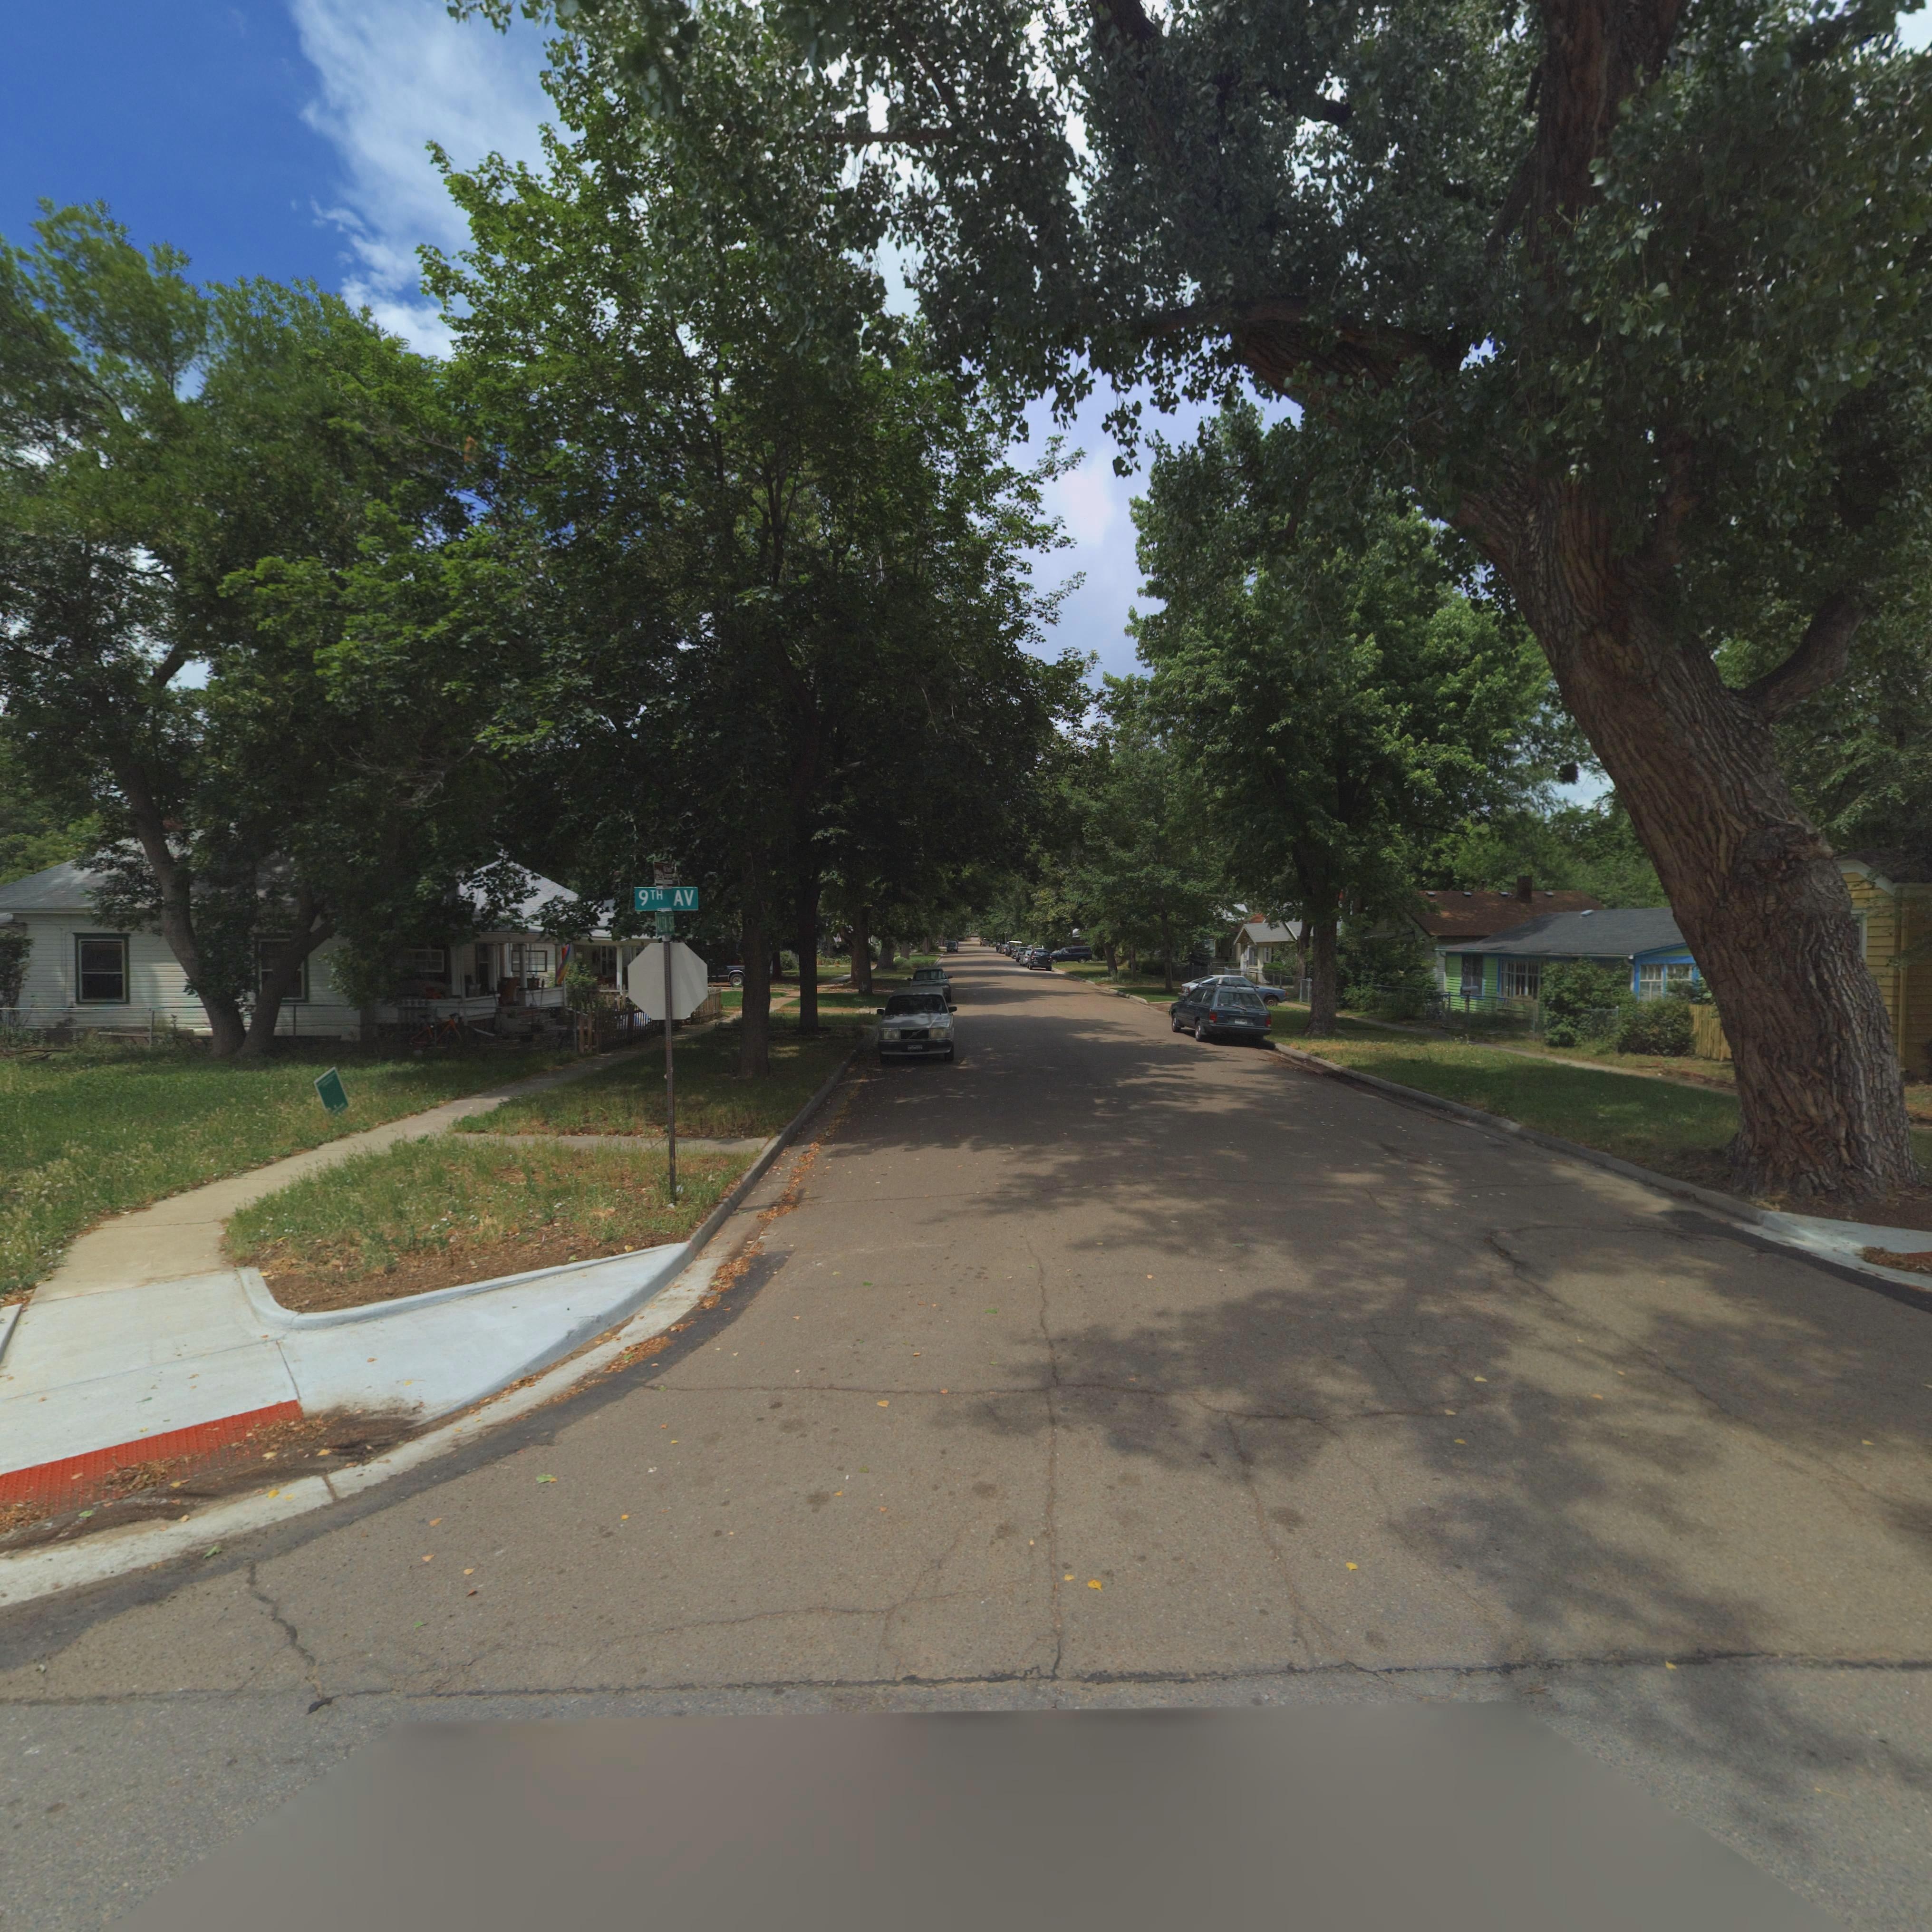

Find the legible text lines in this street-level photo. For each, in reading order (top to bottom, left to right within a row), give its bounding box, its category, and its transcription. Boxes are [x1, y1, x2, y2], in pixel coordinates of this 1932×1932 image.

[637, 889, 695, 906] StreetName: 9TH AV
[656, 915, 675, 933] StreetName: ALTA ST